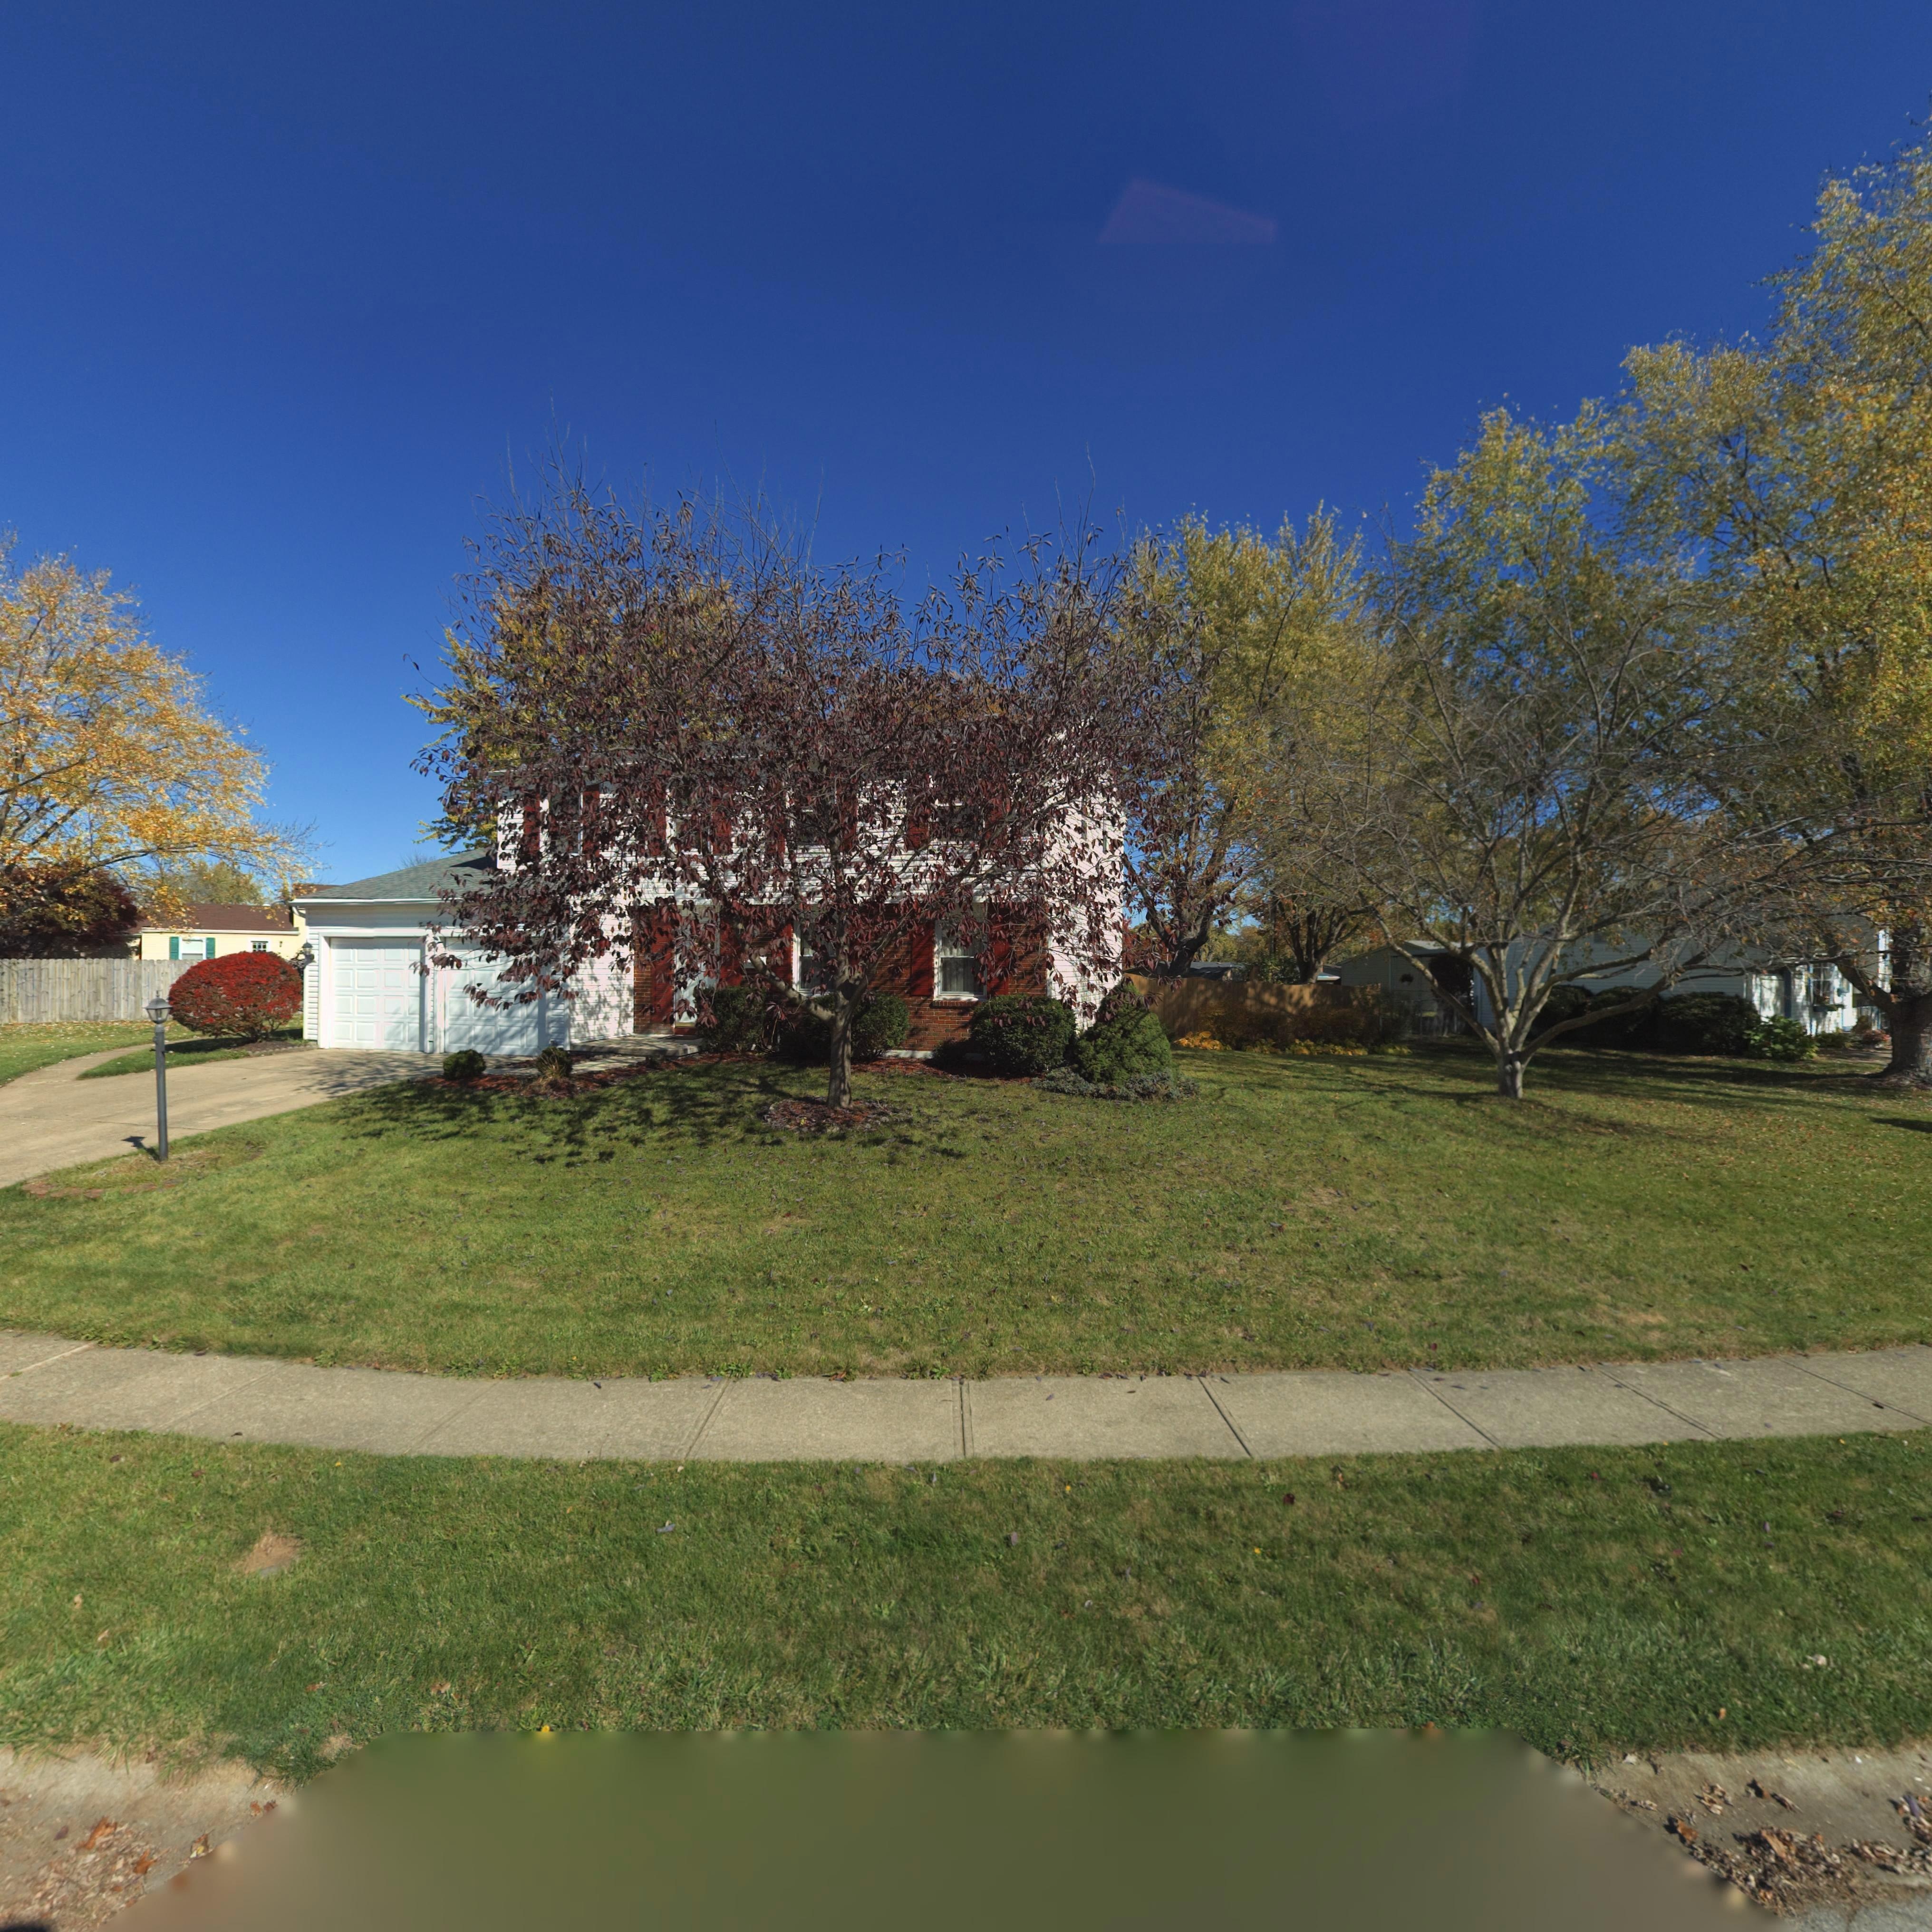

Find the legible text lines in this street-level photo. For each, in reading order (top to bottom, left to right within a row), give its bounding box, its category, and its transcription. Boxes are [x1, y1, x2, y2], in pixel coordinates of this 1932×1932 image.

[417, 921, 423, 928] StreetNumber: T